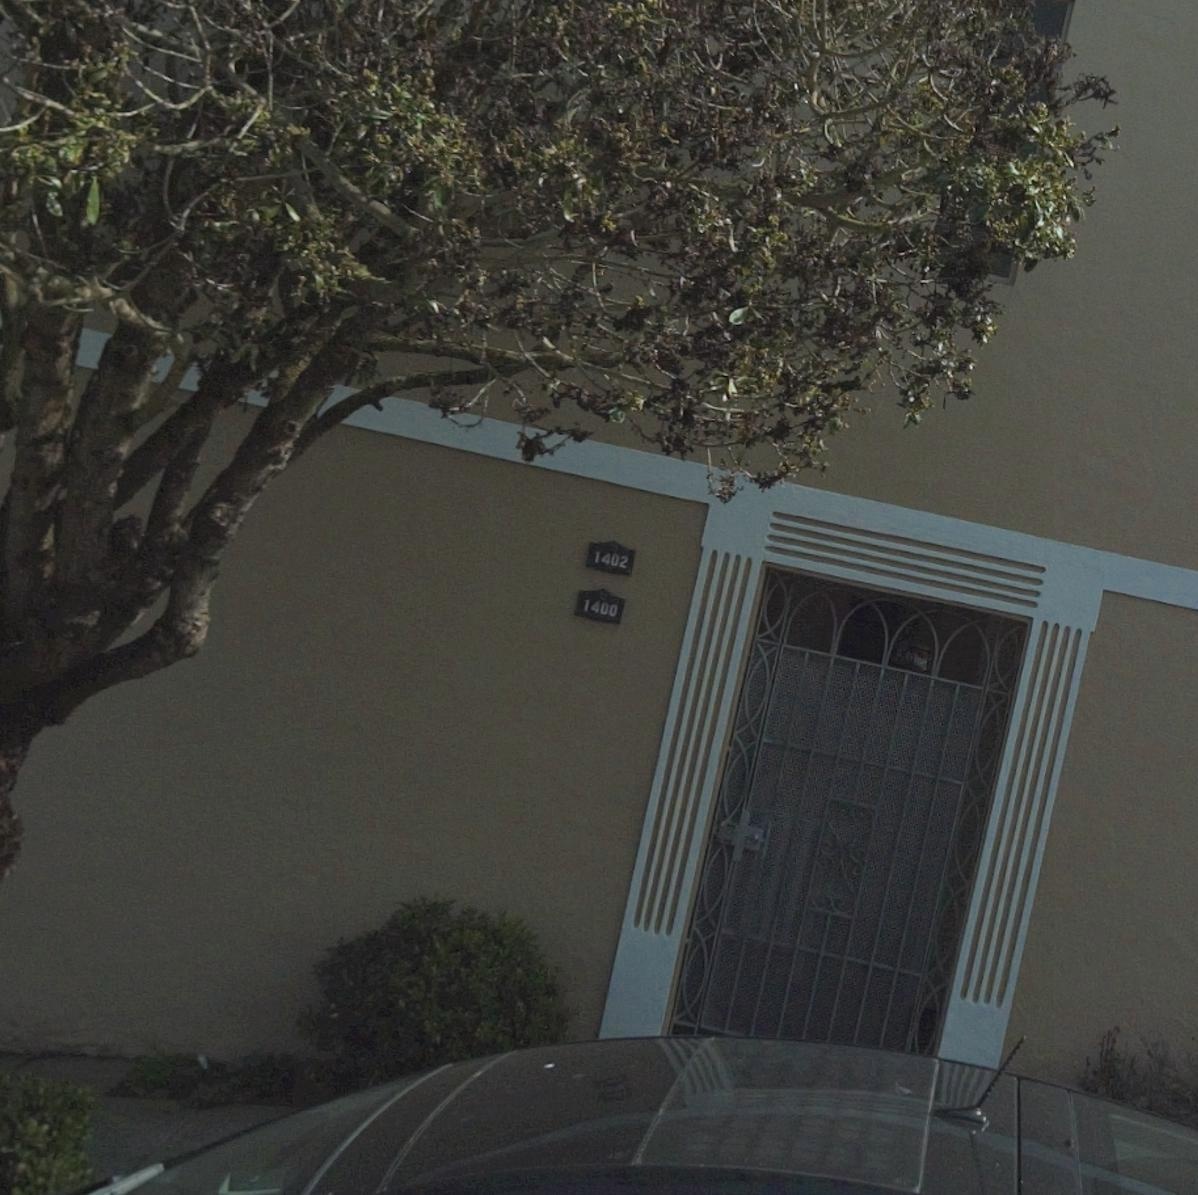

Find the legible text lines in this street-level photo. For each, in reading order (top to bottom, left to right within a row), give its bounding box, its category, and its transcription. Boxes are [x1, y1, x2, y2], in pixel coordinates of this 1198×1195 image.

[591, 546, 632, 573] StreetNumber: 1402
[579, 595, 621, 622] StreetNumber: 1400